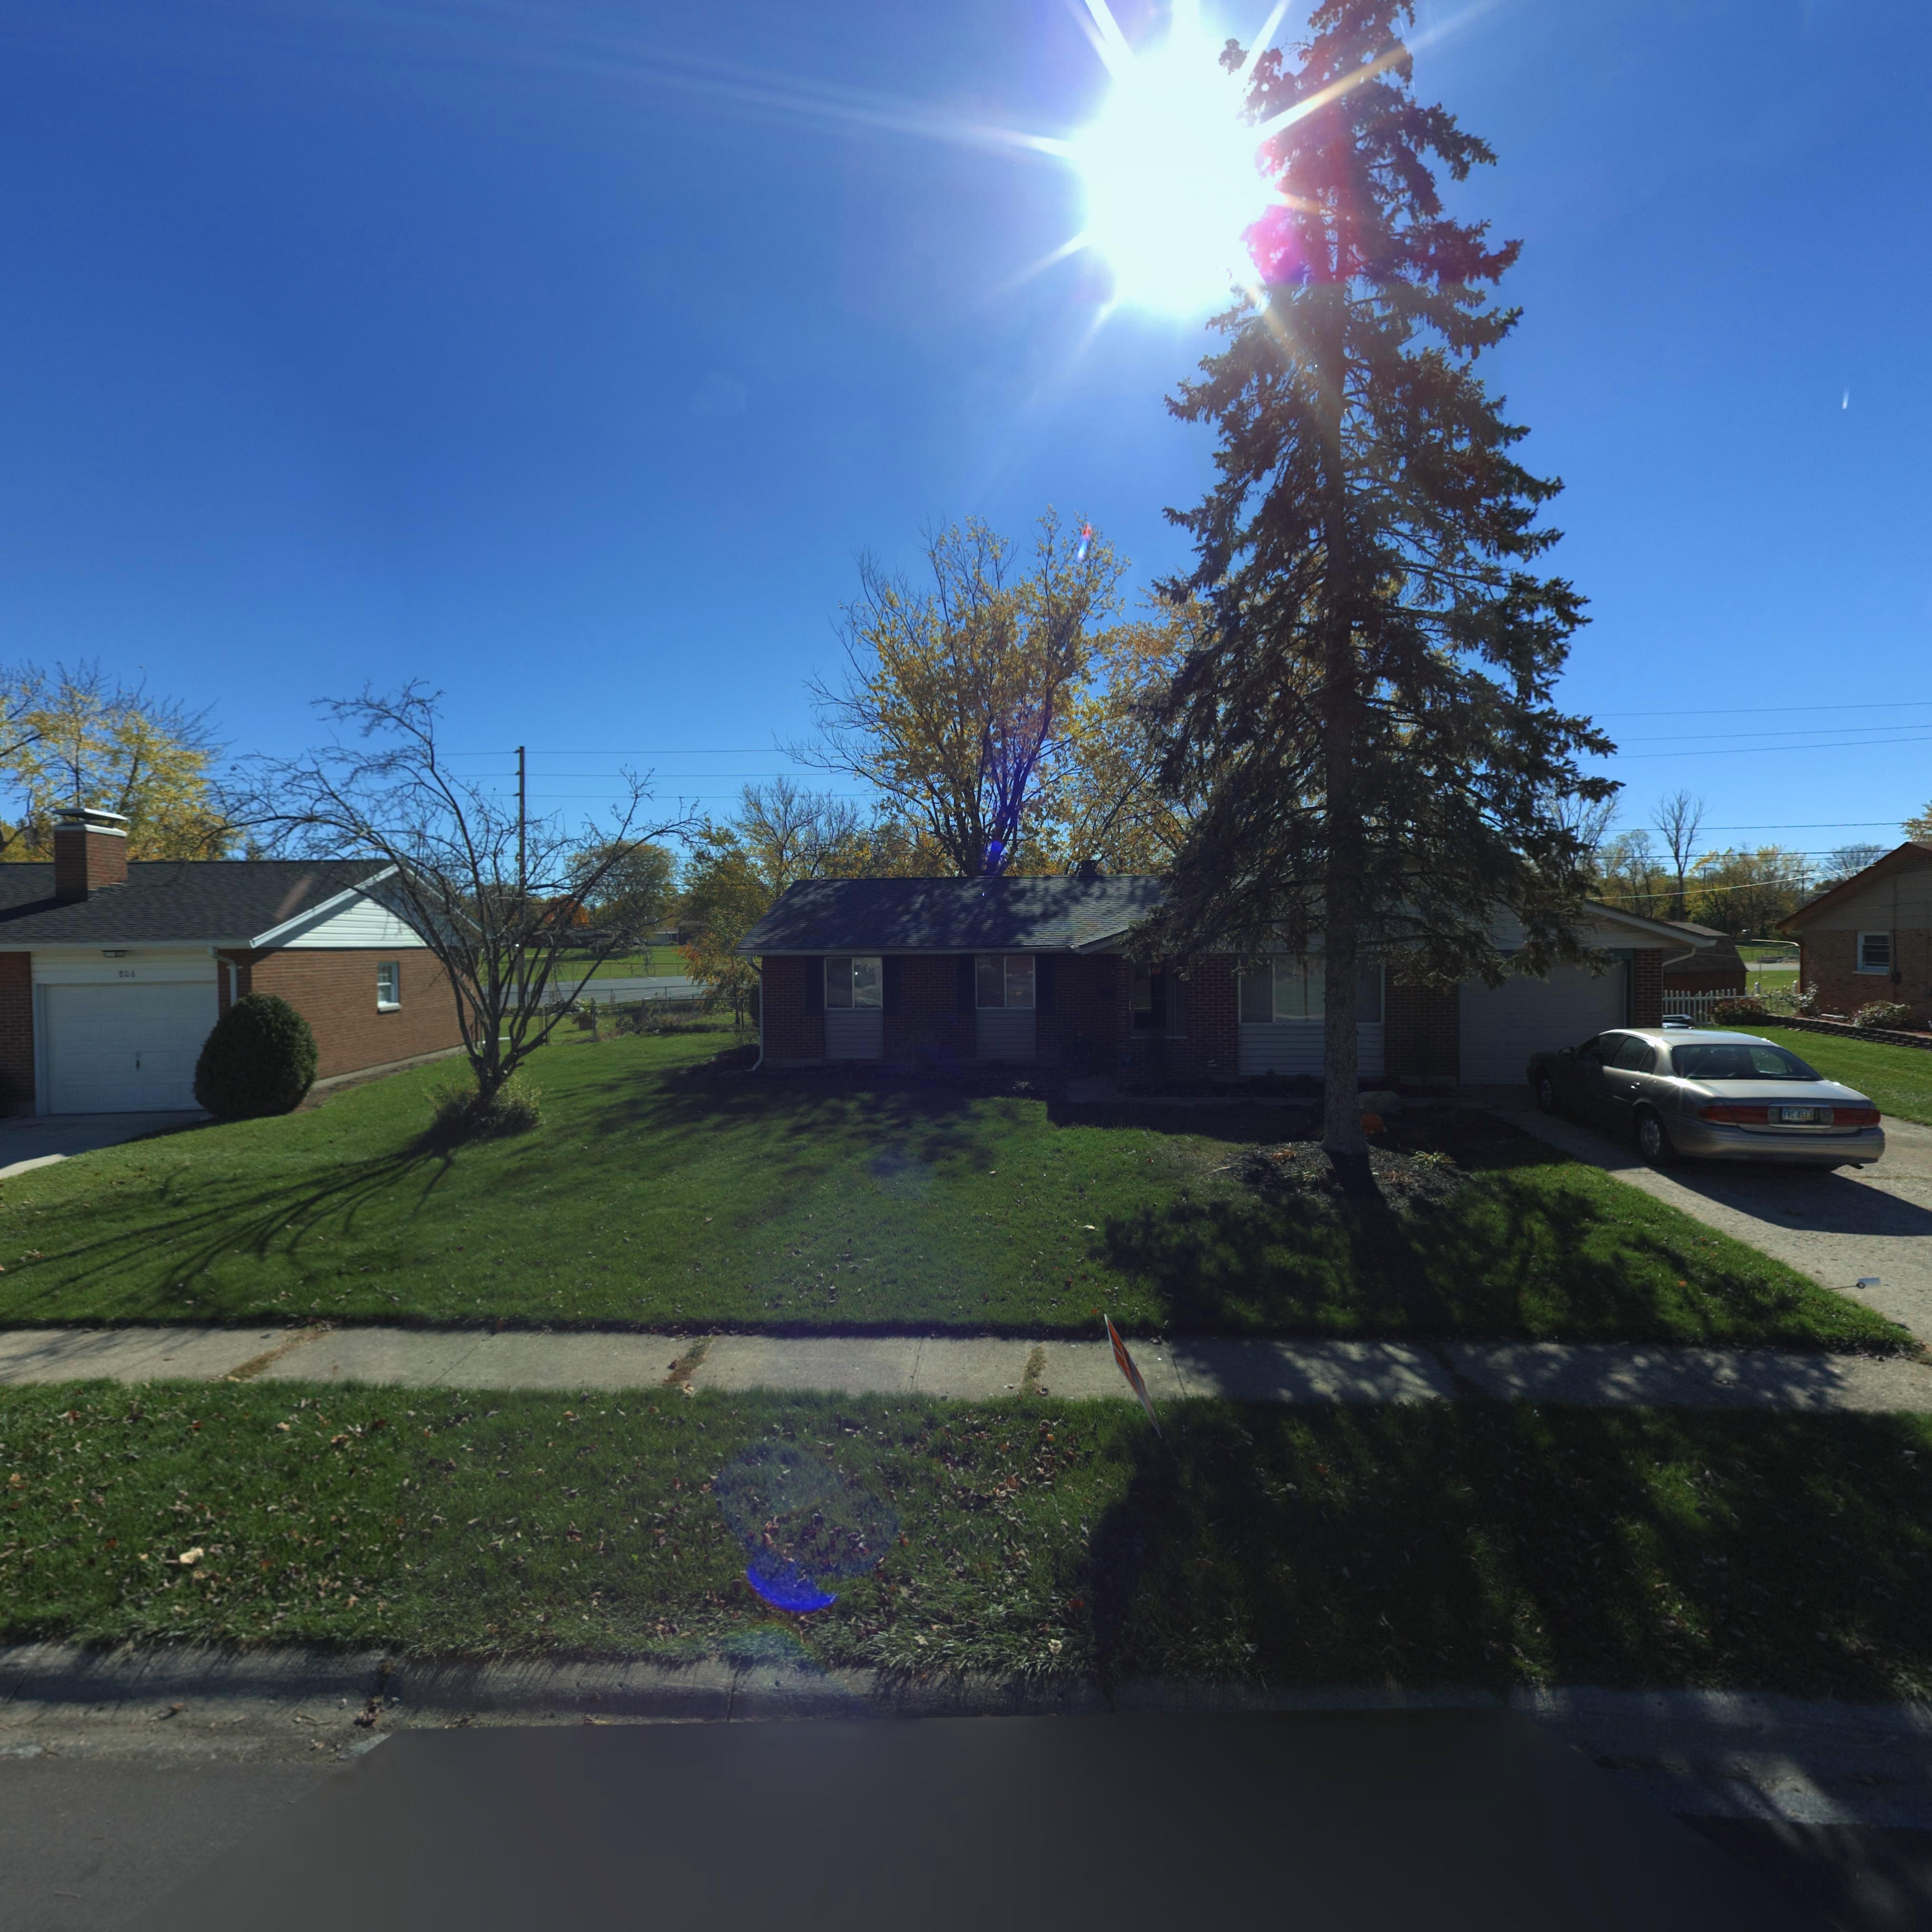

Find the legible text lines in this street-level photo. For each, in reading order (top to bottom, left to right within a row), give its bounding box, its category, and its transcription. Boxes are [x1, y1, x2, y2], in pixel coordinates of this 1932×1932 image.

[118, 969, 136, 978] StreetNumber: 806